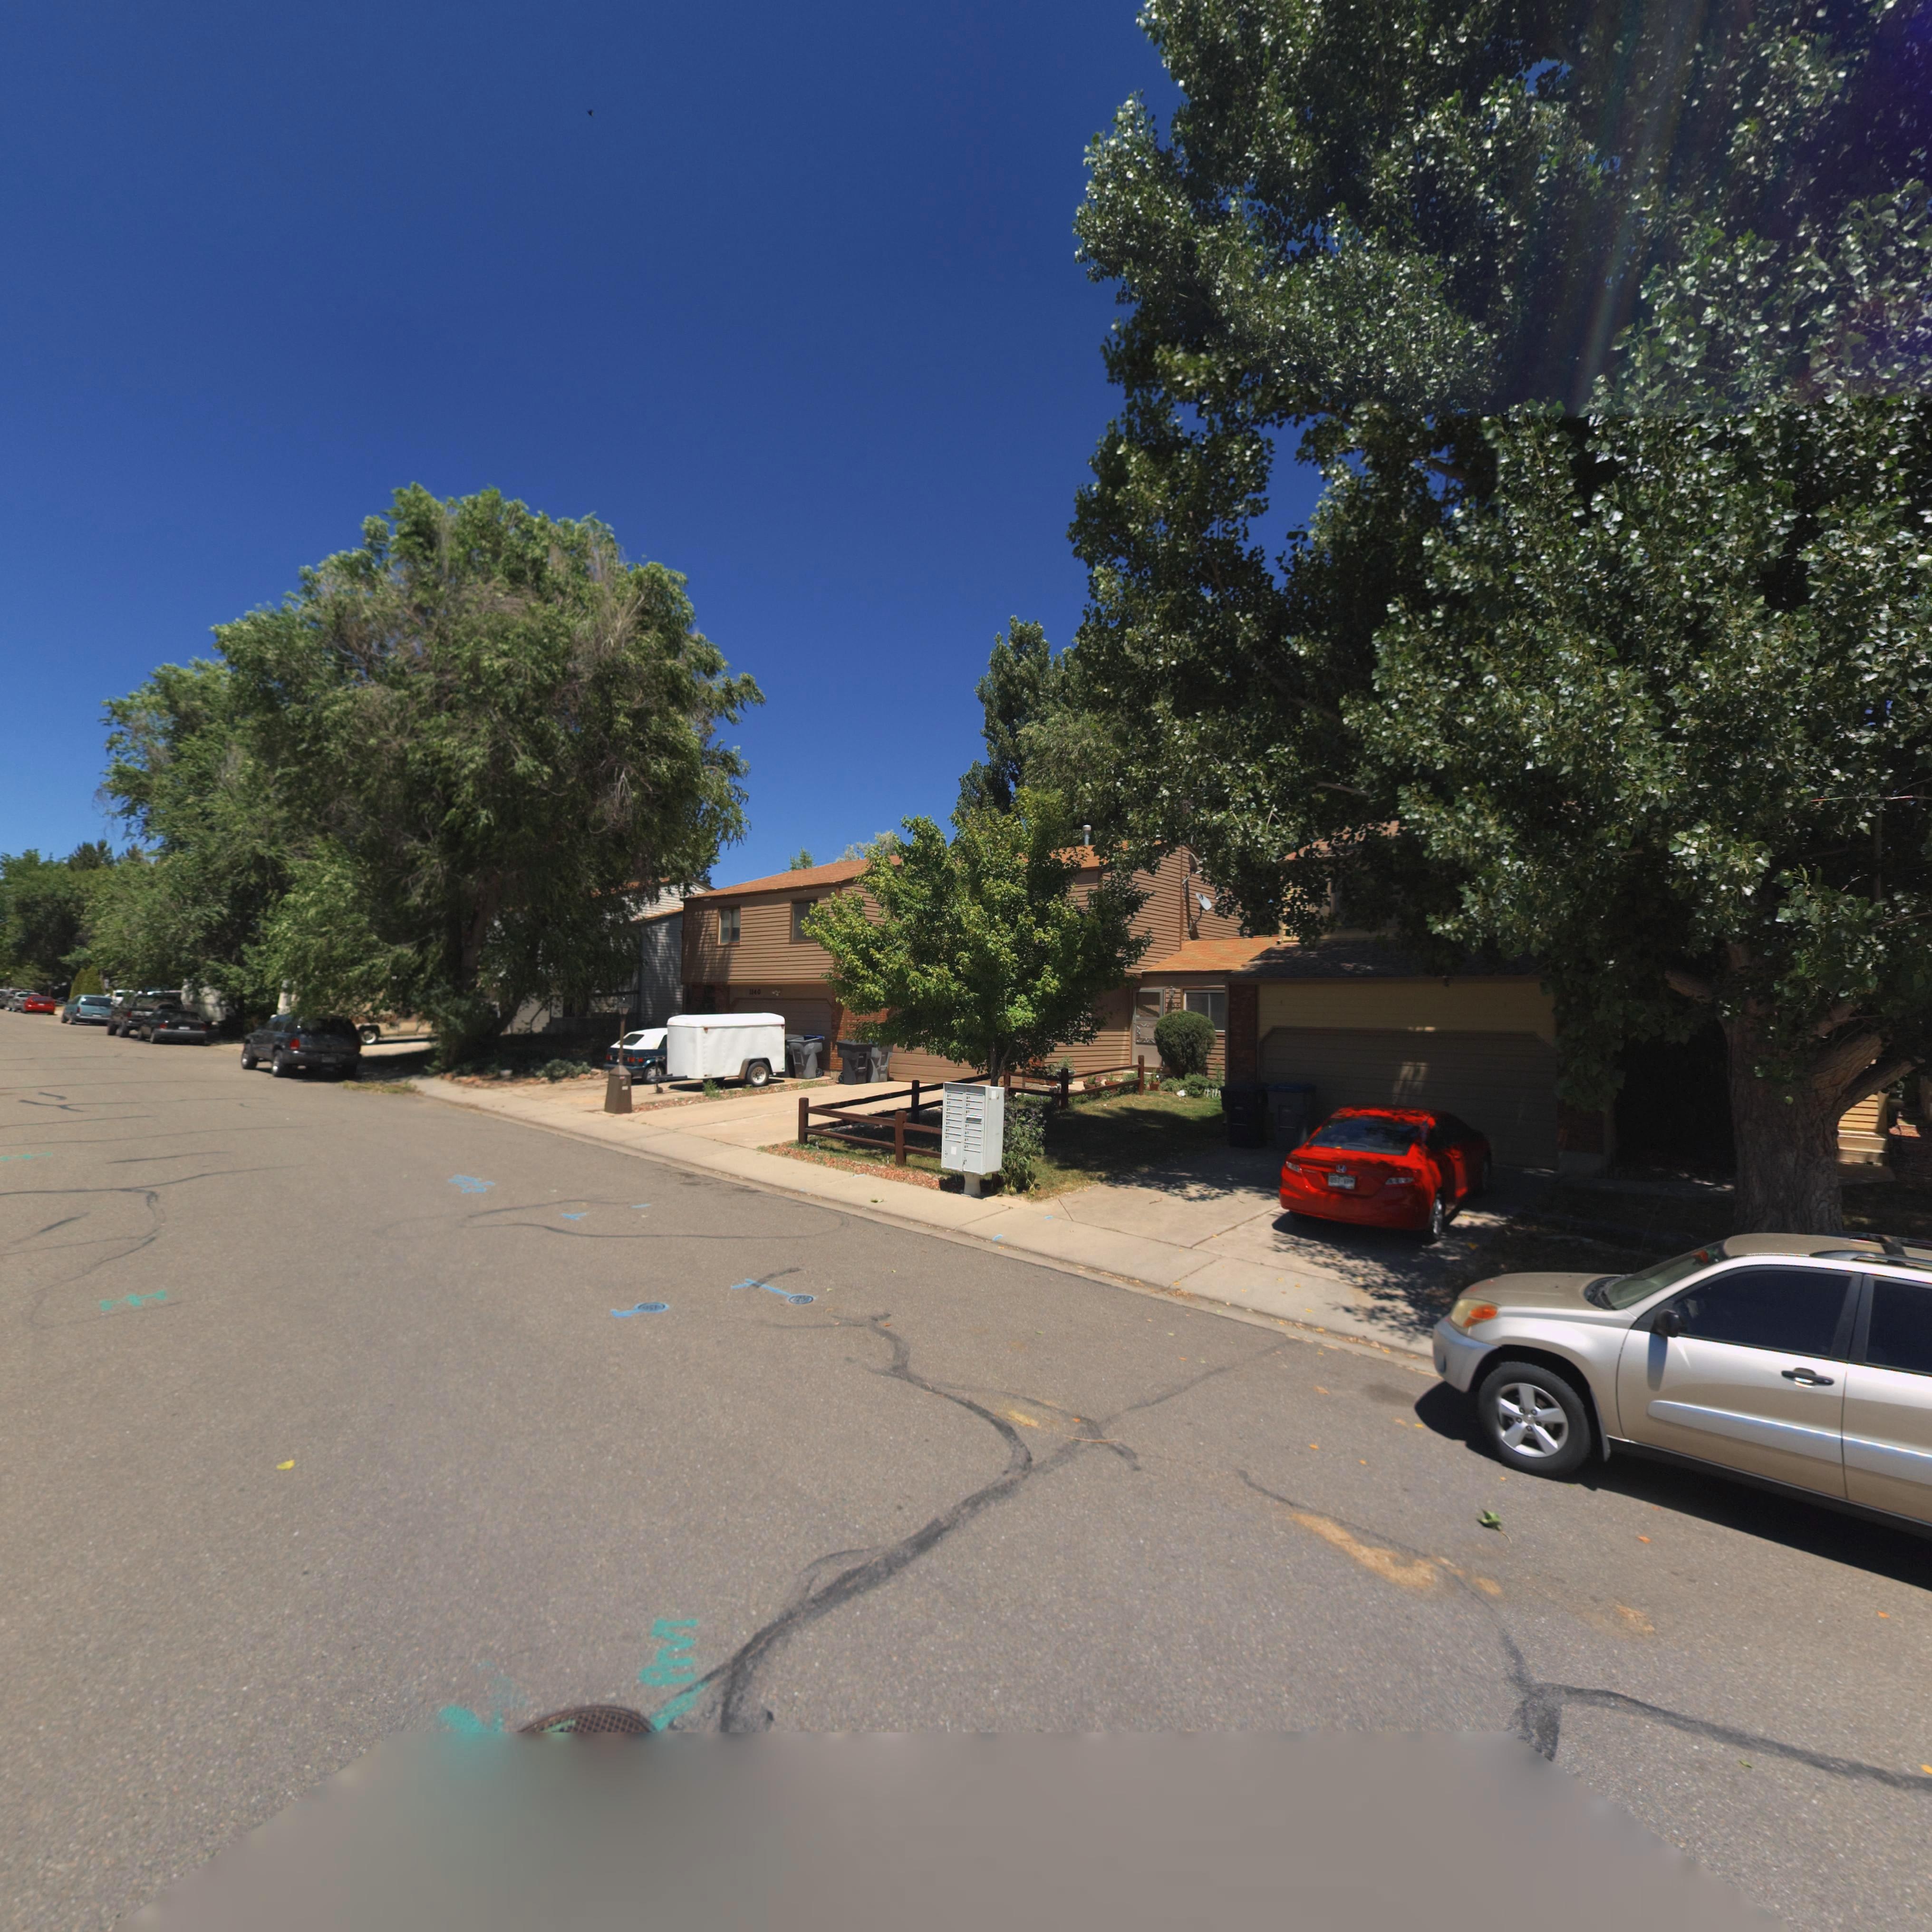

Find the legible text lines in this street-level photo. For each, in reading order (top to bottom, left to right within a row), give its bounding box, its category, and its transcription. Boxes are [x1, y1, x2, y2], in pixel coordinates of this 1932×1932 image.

[749, 989, 761, 995] StreetNumber: 1140